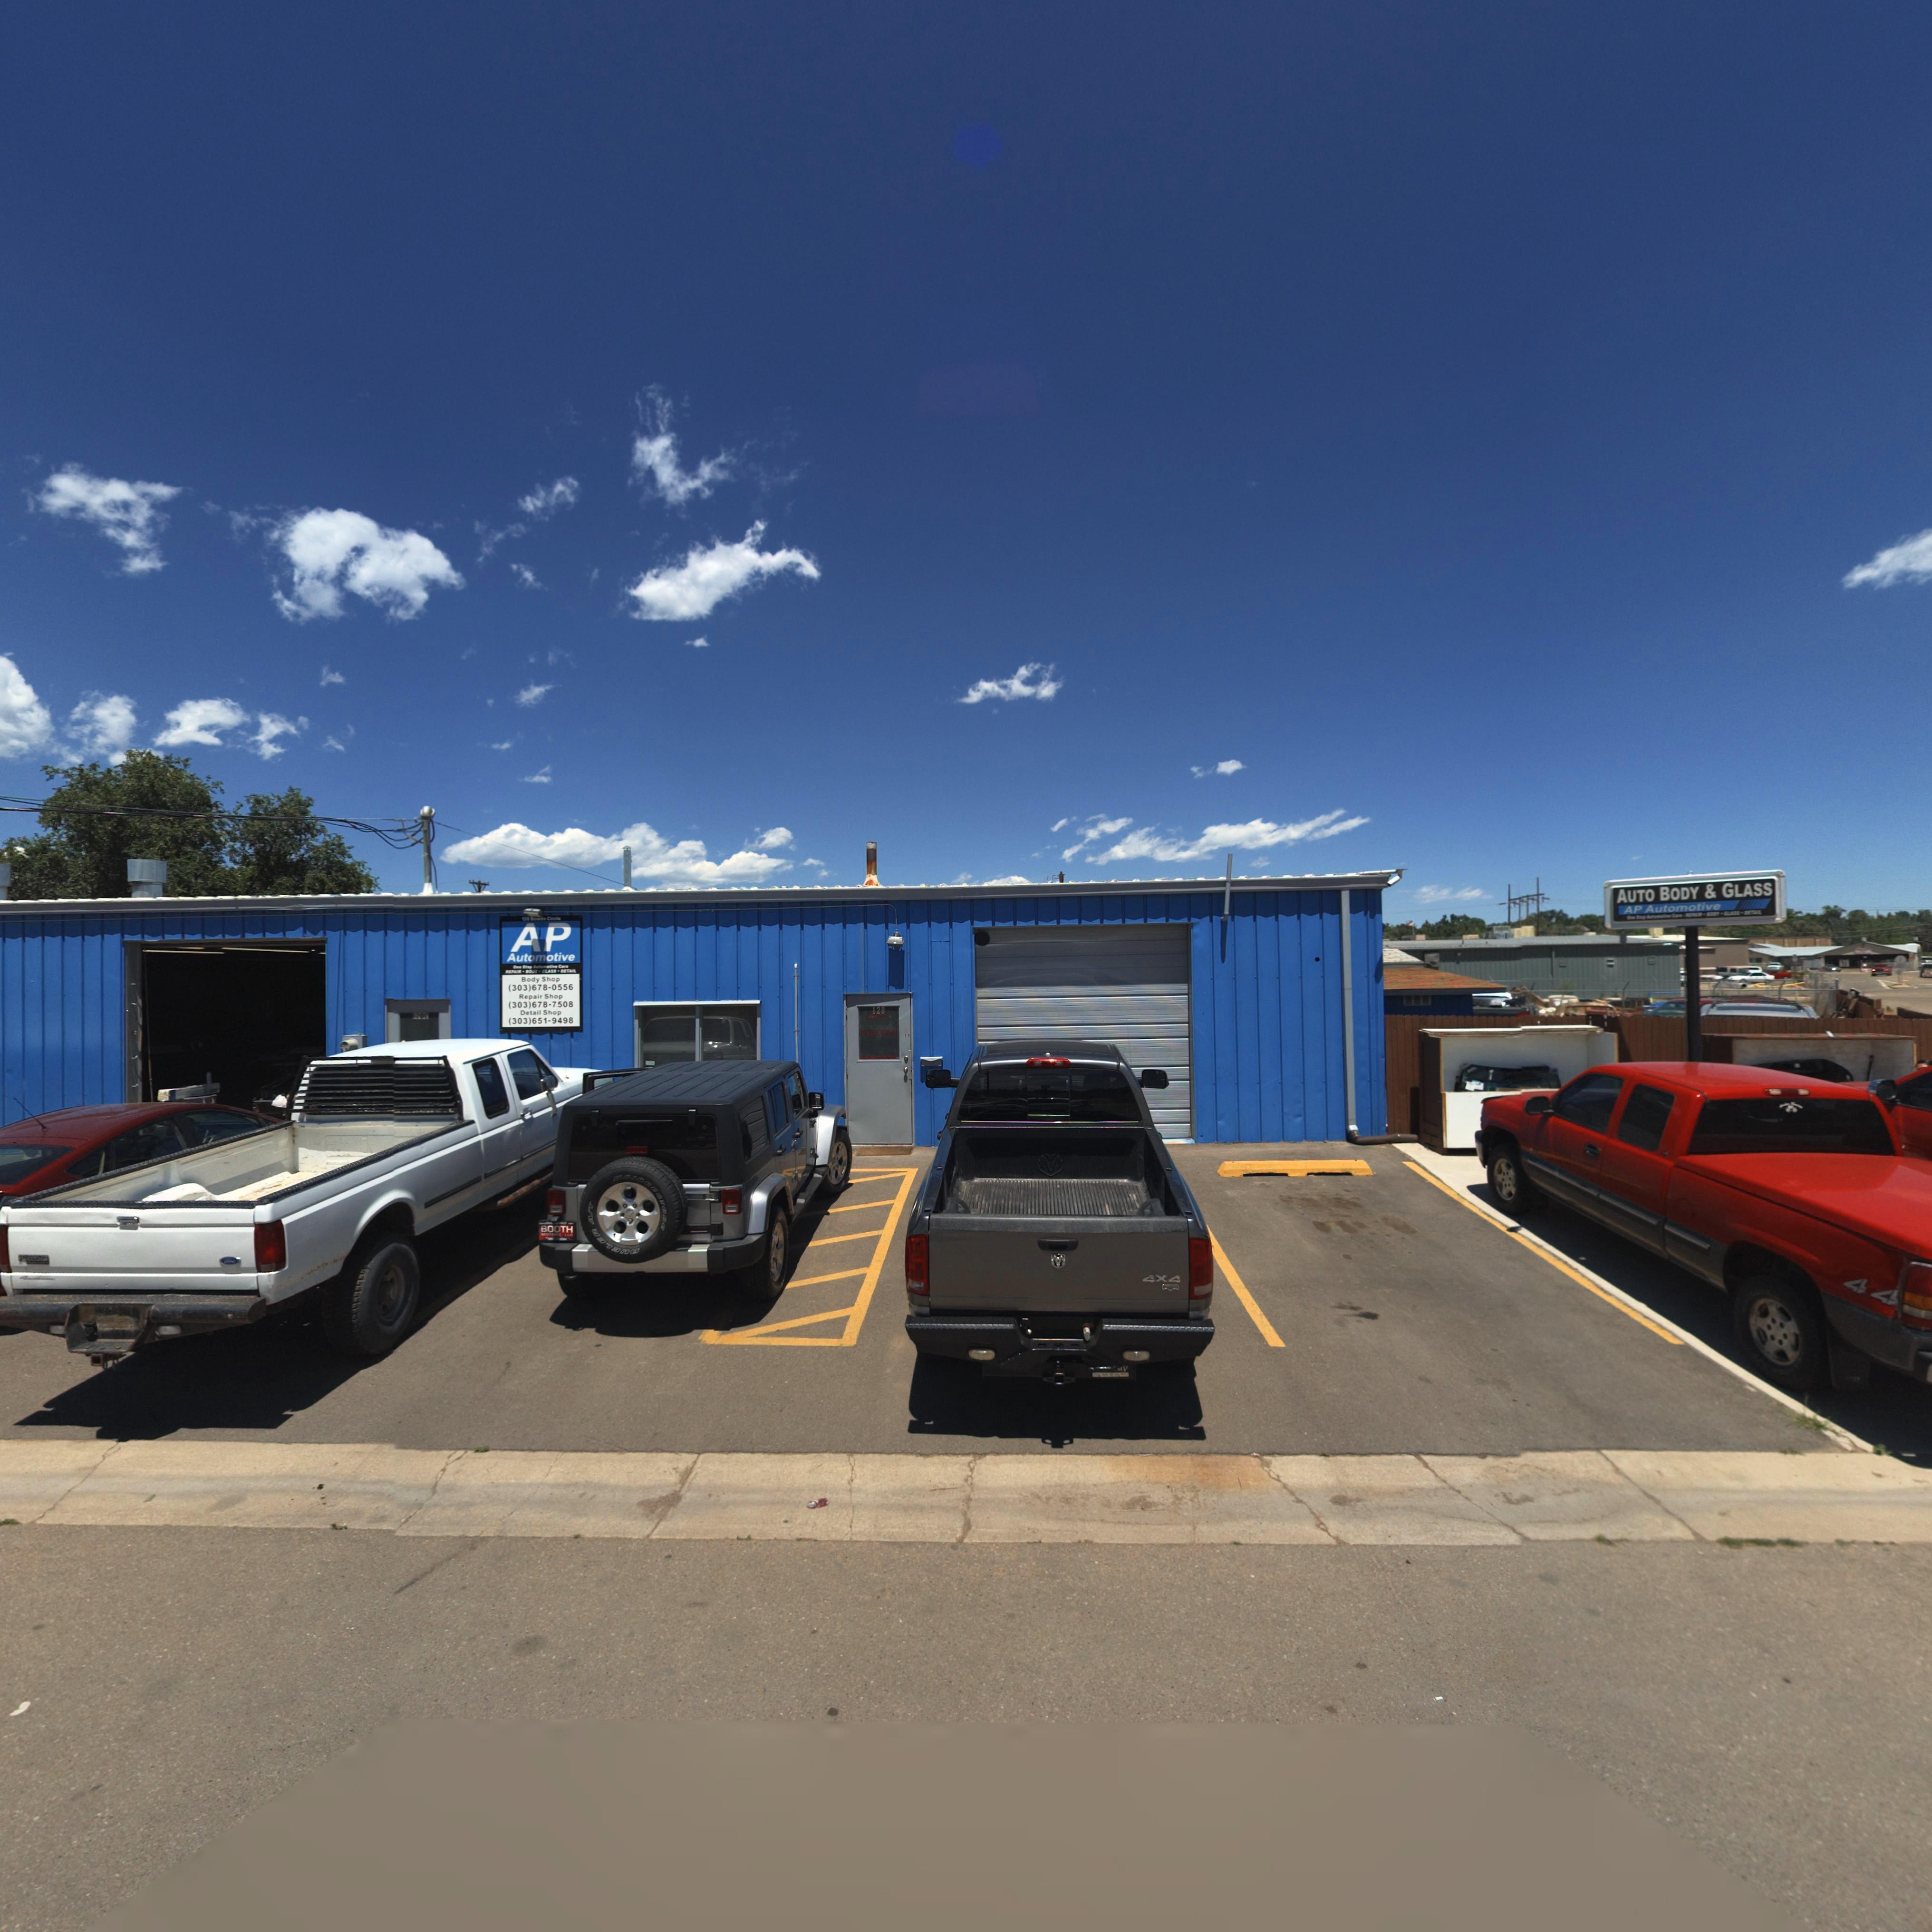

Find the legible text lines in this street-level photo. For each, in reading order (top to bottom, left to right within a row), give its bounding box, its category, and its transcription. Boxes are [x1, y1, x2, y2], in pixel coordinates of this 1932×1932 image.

[1616, 882, 1773, 903] BusinessName: AUTO BODY & GLASS
[1623, 902, 1721, 914] BusinessName: AP Automotive
[522, 917, 529, 921] StreetNumber: 12*
[530, 916, 560, 920] StreetName: Bo*** C**c**
[510, 922, 571, 952] BusinessName: AP
[506, 952, 575, 962] BusinessName: Automotive
[873, 1006, 885, 1014] StreetNumber: 120
[413, 1012, 428, 1018] StreetNumber: *20*